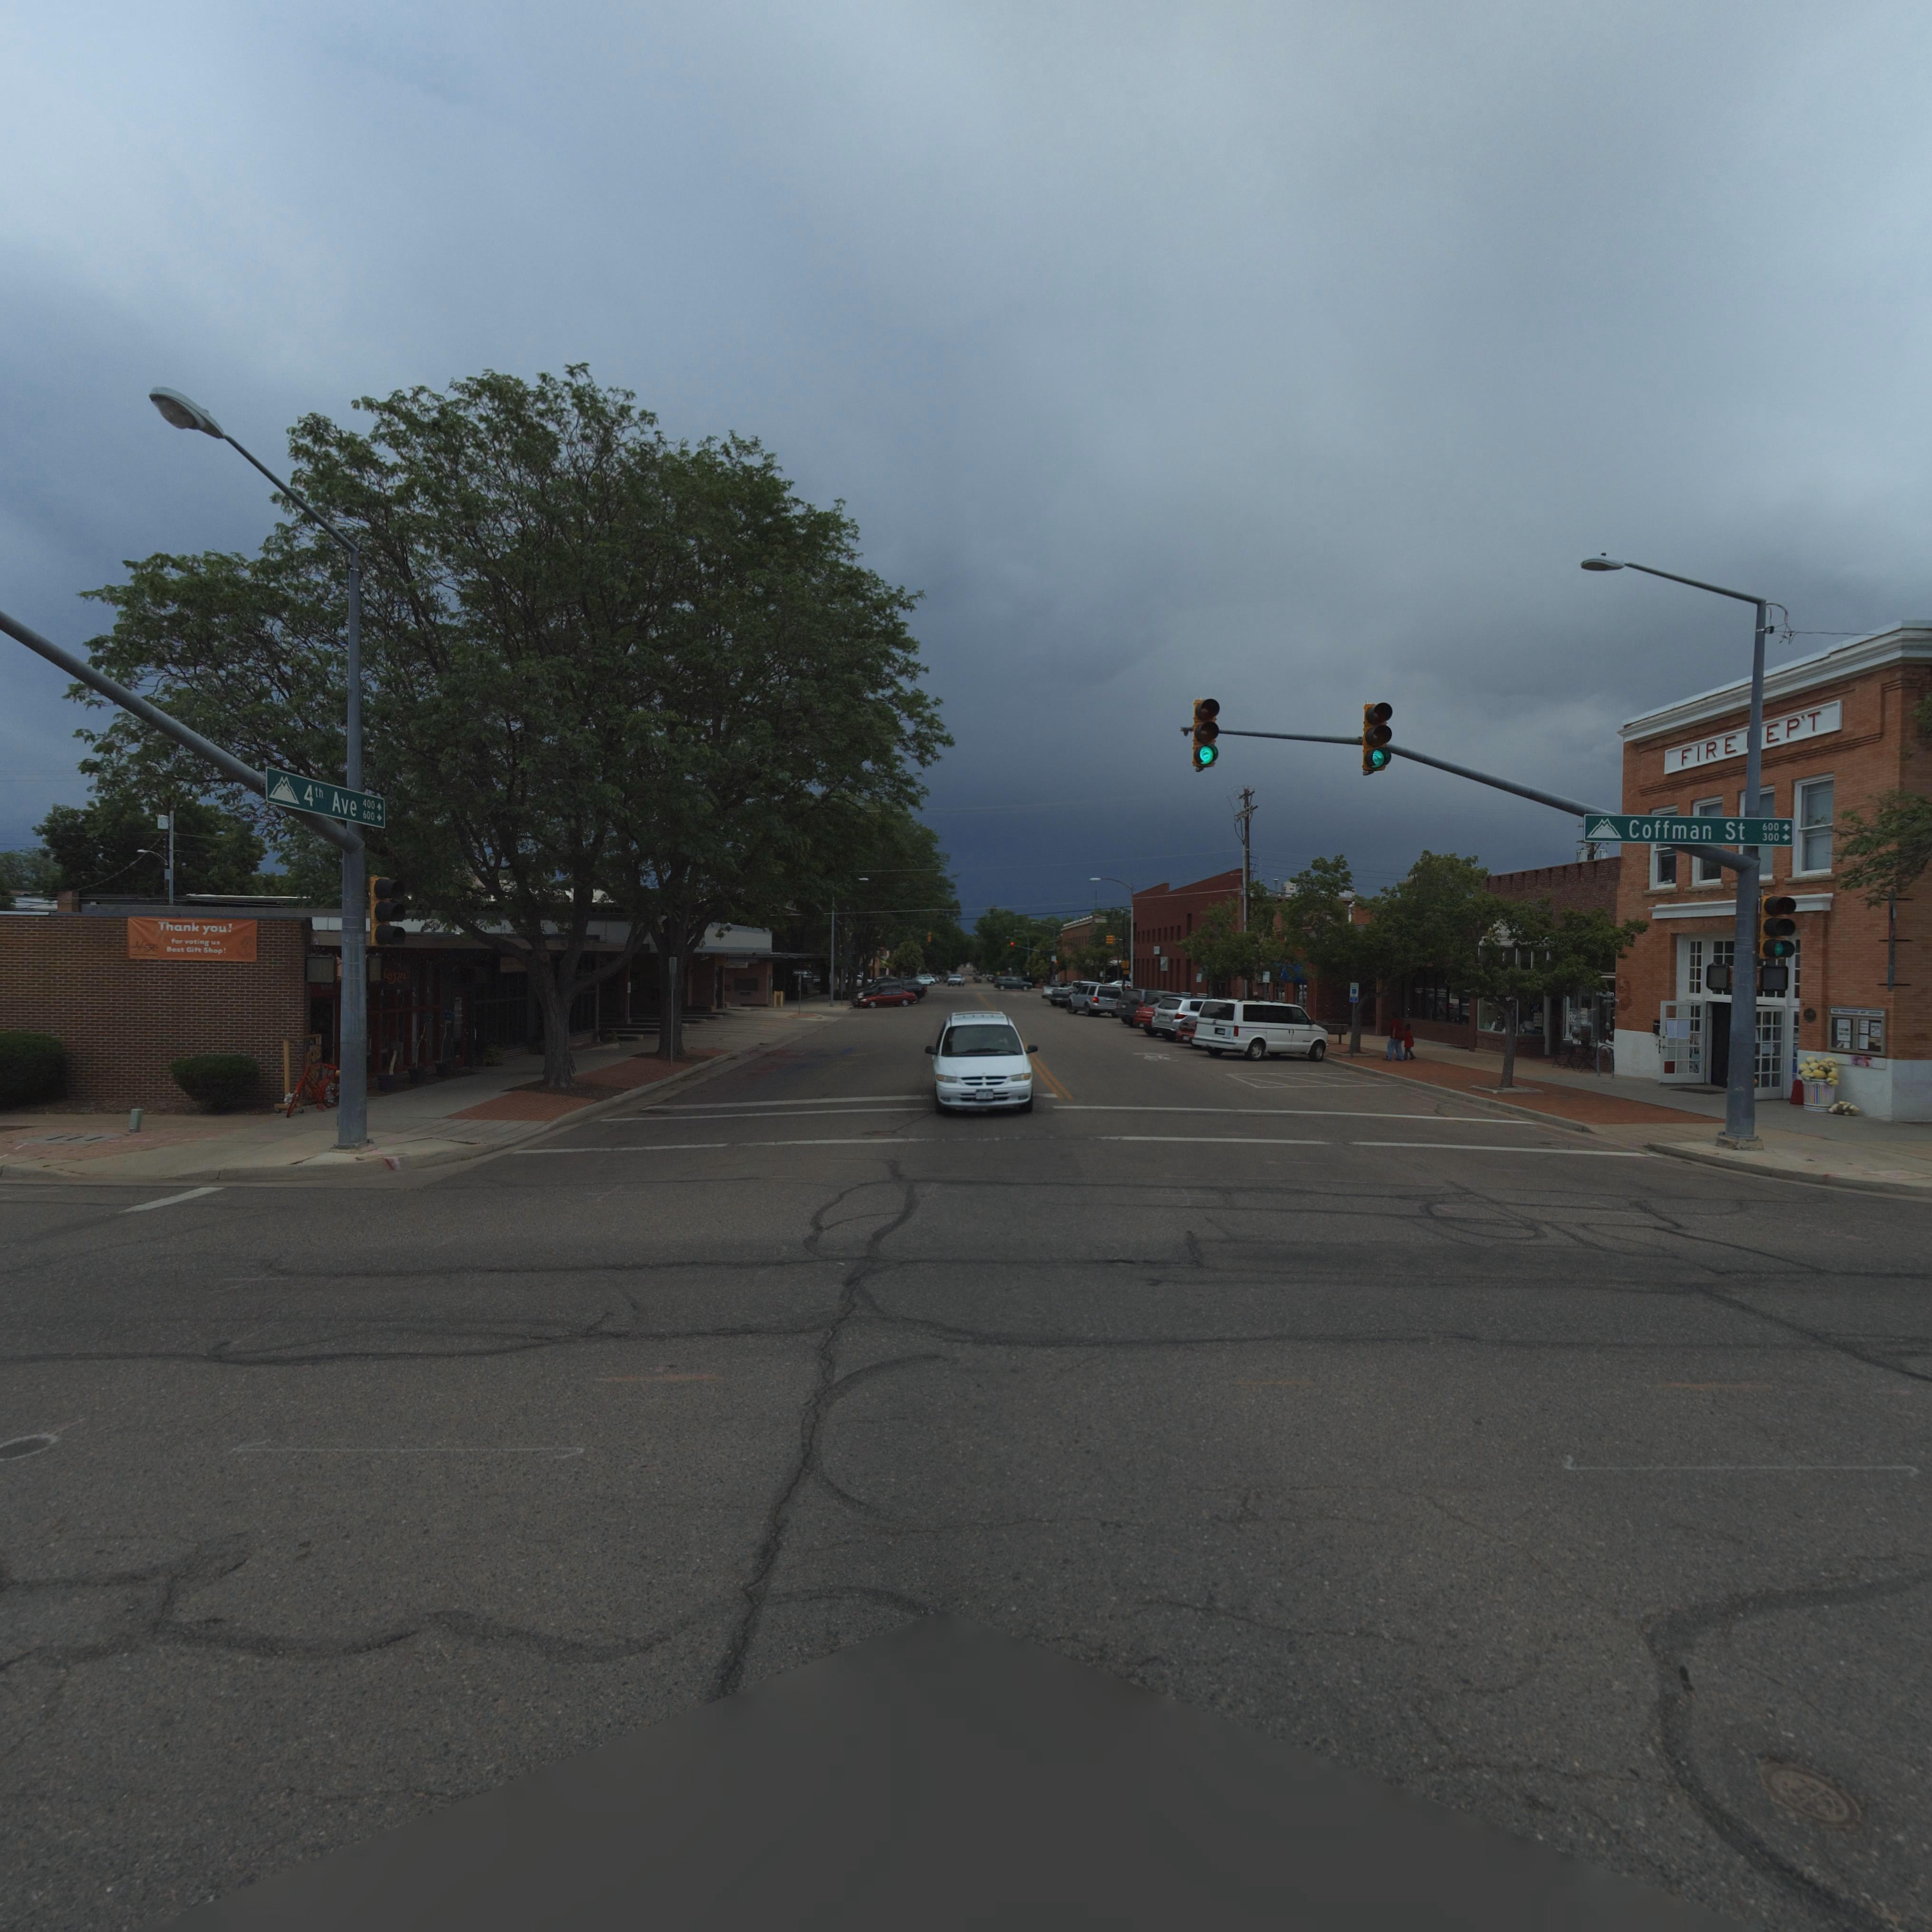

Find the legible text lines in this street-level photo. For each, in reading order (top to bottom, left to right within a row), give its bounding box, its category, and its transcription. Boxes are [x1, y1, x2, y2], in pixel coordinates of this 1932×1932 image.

[303, 784, 357, 817] StreetName: 4th Ave
[362, 799, 375, 809] StreetNumber: 400
[363, 810, 382, 821] StreetNumberRange: 600 ->
[1629, 820, 1745, 840] StreetName: Coffman St
[1762, 822, 1779, 831] StreetNumber: 600
[1762, 833, 1791, 841] StreetNumberRange: 300 ->
[158, 921, 226, 935] BusinessName: Thank you
[130, 939, 159, 953] BusinessName: A*D*****
[386, 971, 406, 984] BusinessName: oRn